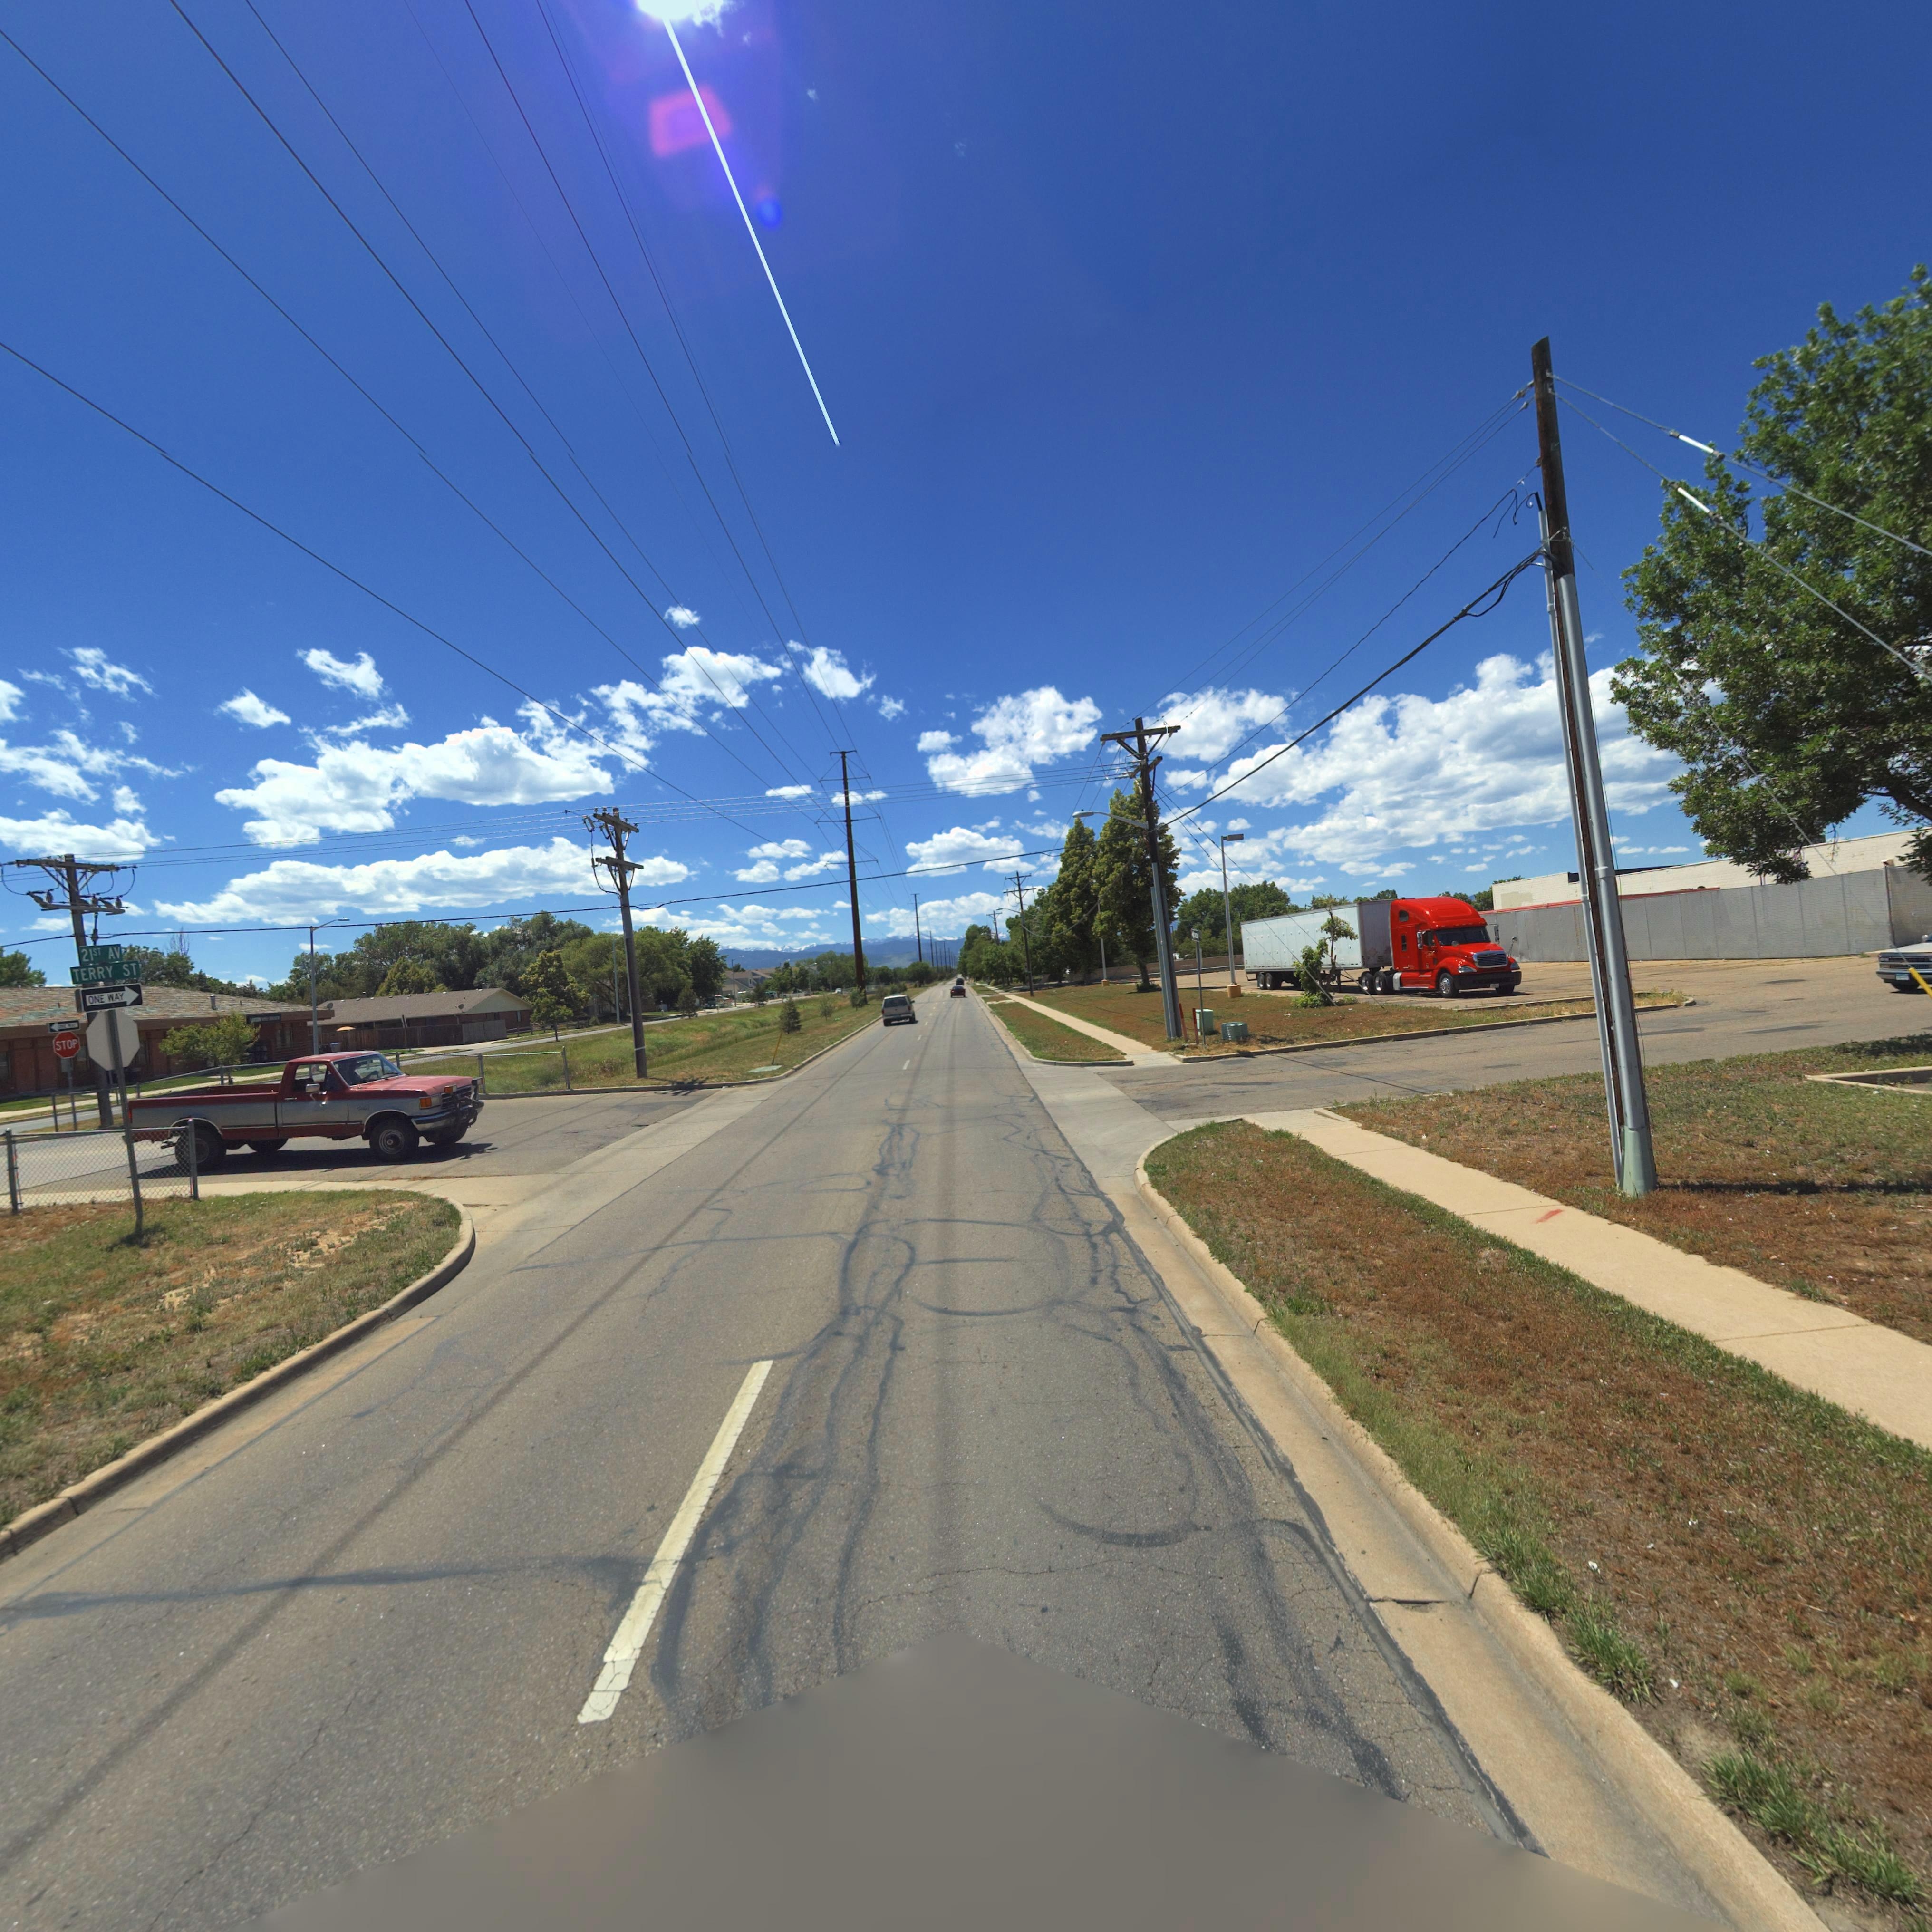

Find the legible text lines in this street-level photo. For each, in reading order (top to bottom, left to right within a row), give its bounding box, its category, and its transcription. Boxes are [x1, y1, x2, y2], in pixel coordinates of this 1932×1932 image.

[80, 946, 120, 962] StreetName: 21ST AV
[72, 962, 137, 982] StreetName: TERRY ST